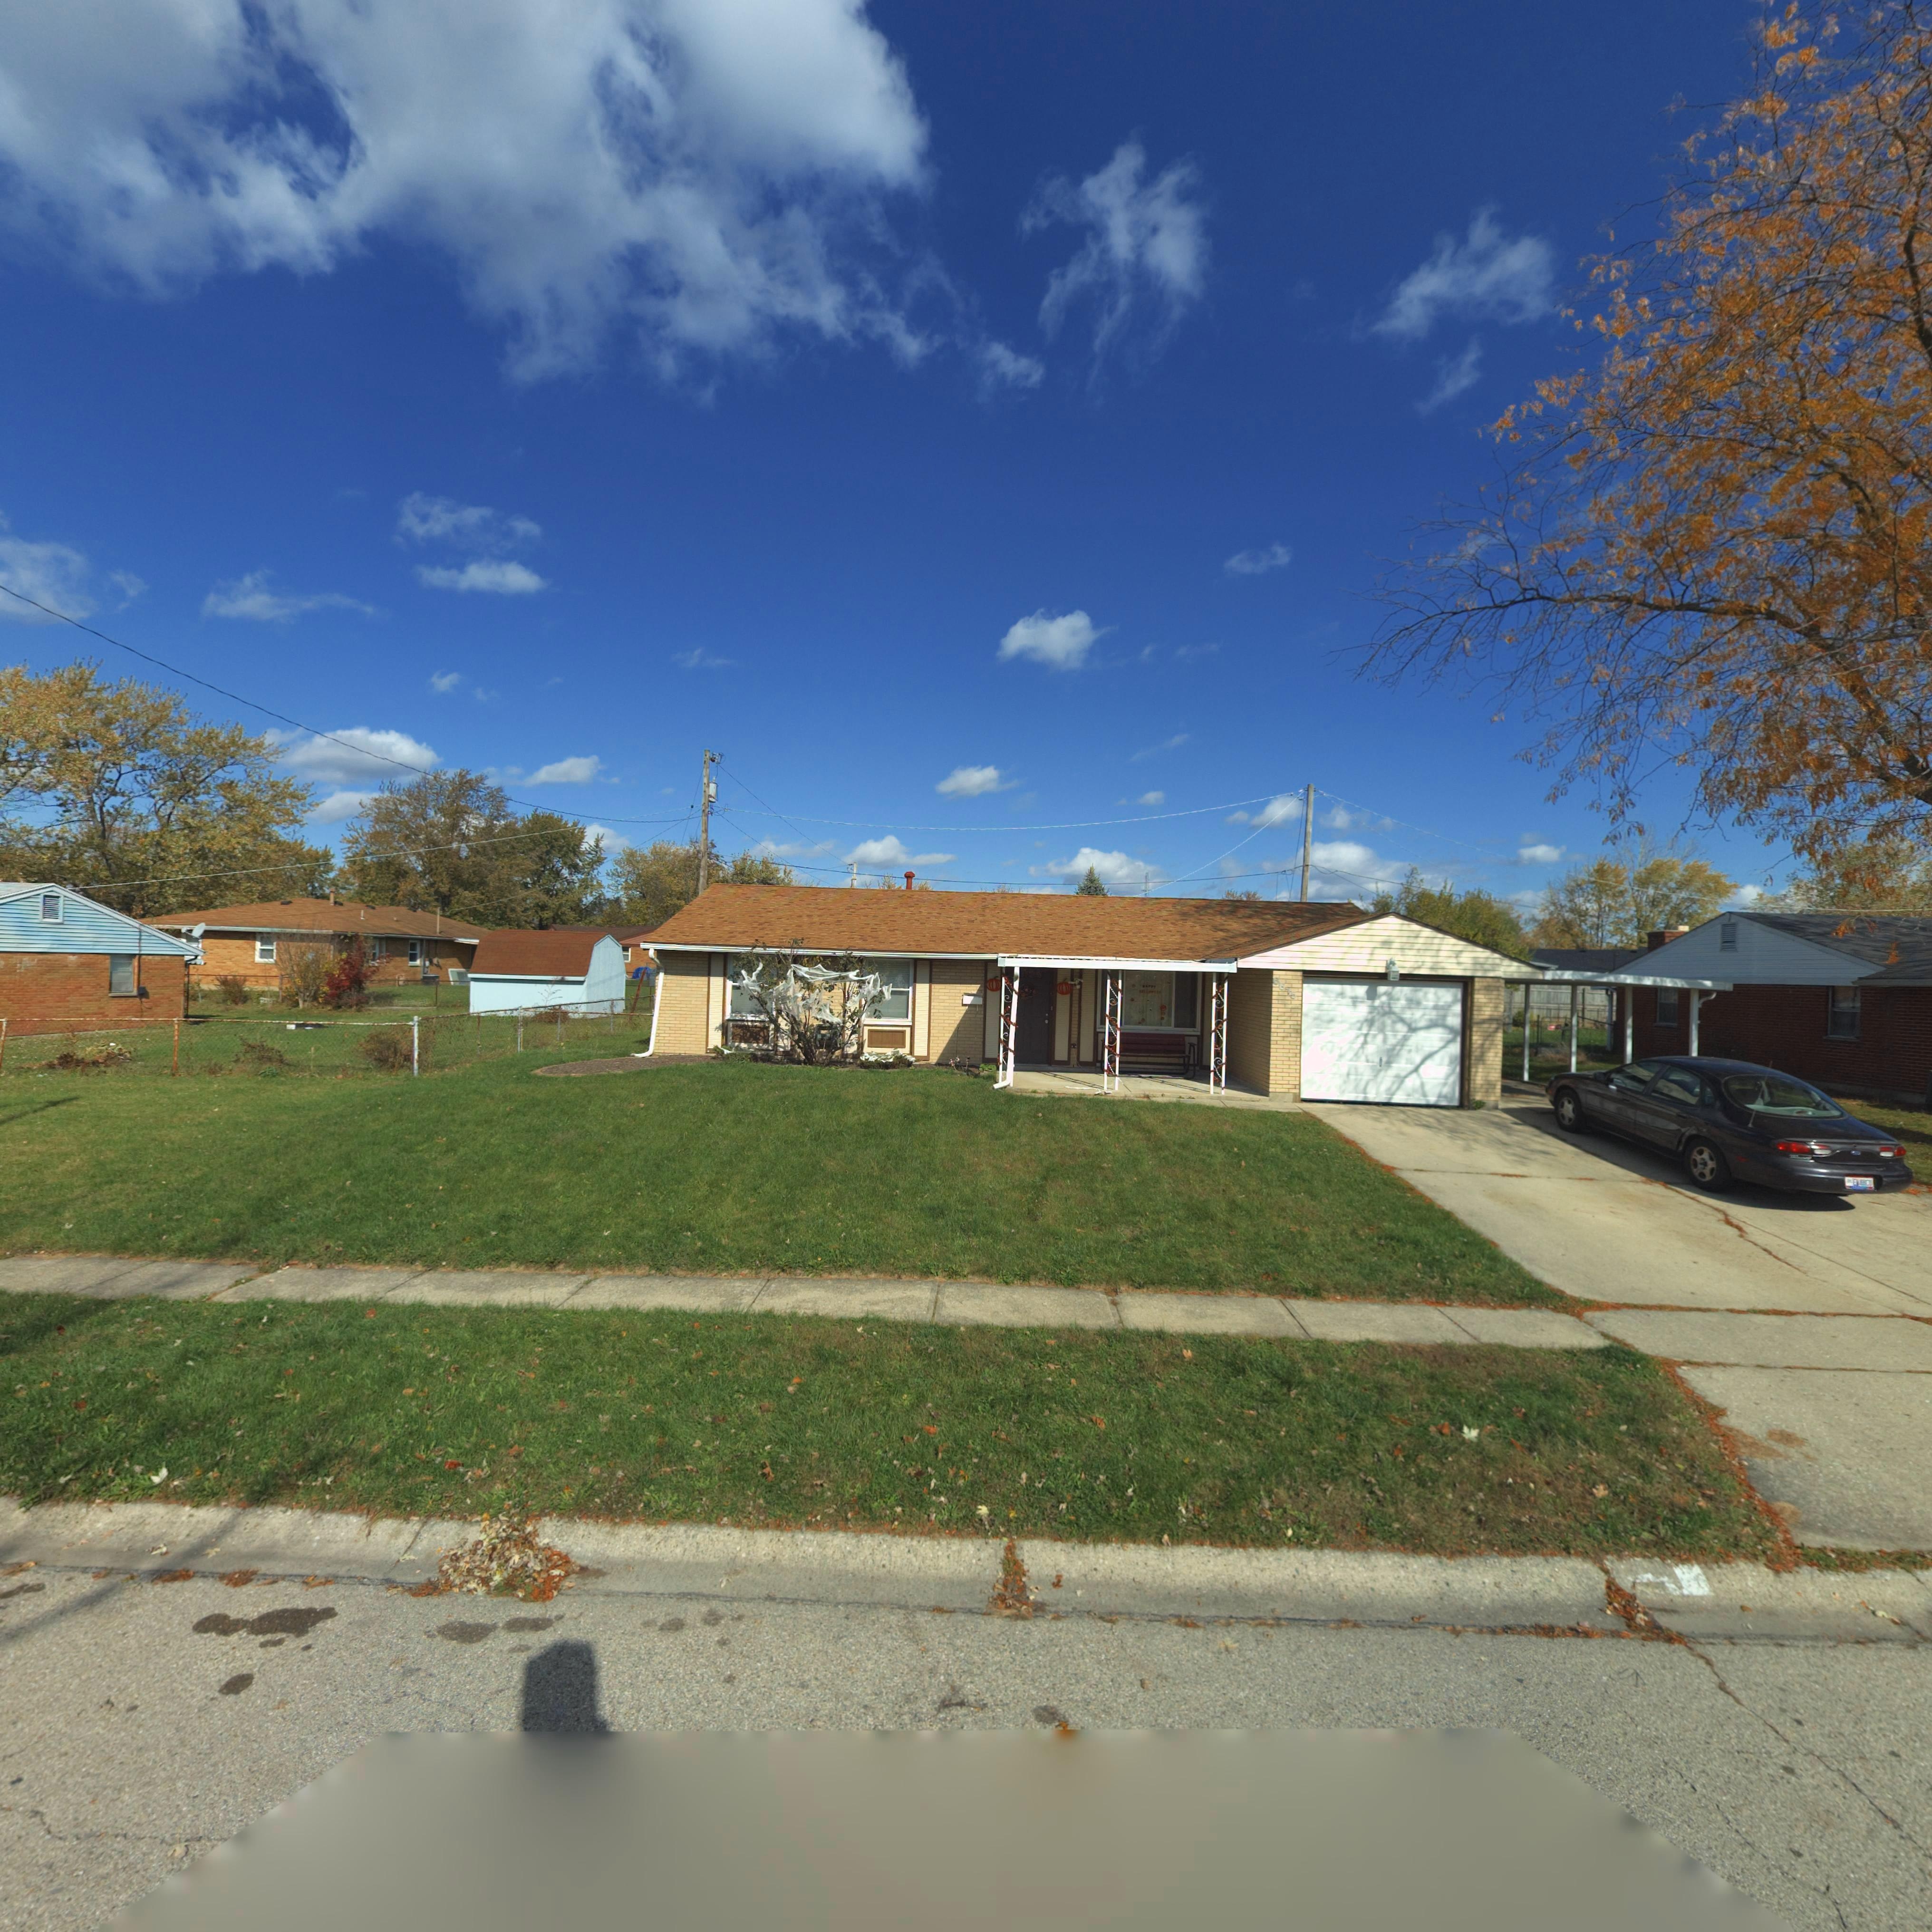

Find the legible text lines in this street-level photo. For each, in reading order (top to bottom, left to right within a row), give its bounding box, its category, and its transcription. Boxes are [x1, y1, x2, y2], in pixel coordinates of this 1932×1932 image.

[1034, 970, 1042, 978] StreetNumber: 5
[1273, 976, 1297, 1000] StreetNumber: 6615